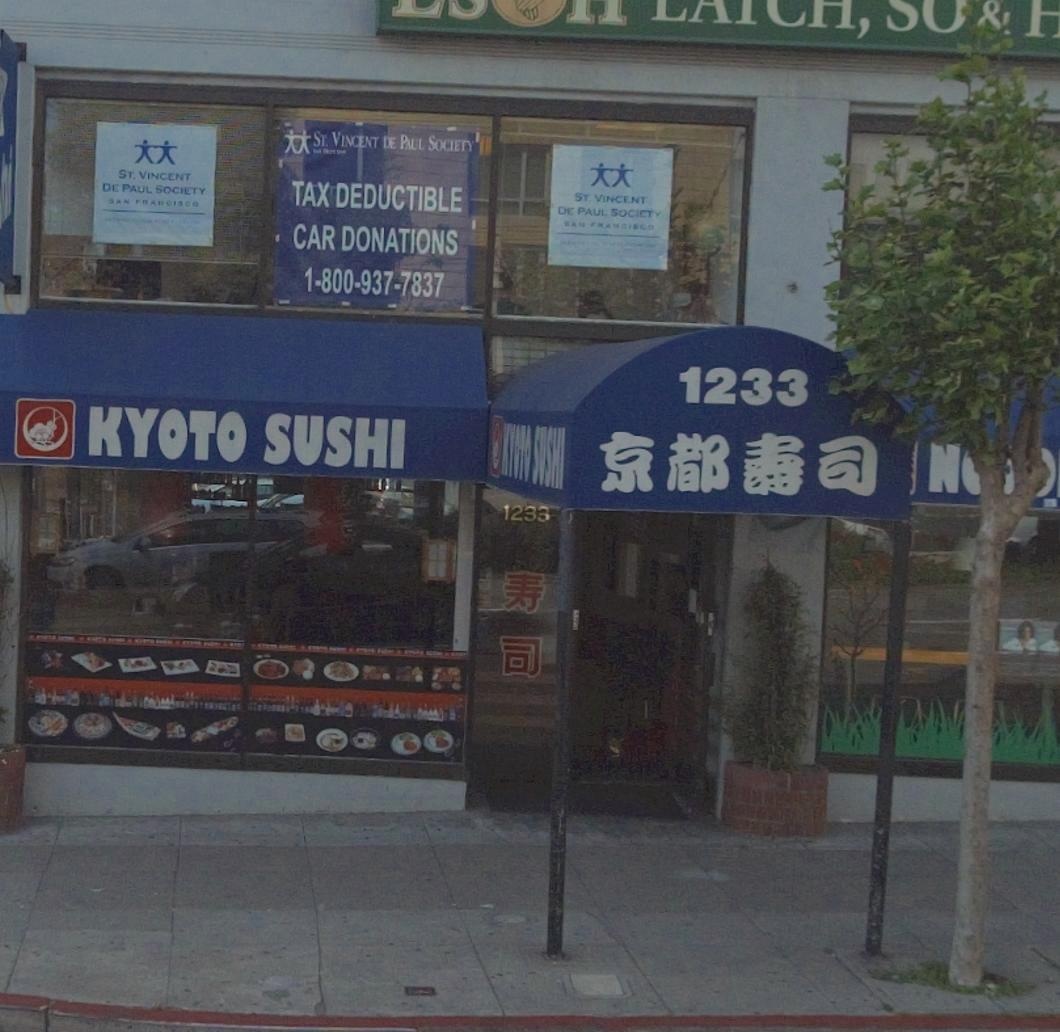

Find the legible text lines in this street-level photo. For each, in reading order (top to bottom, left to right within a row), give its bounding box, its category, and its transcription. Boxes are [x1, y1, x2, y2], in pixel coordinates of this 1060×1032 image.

[312, 129, 476, 154] BusinessName: ST. VINCENT DE PAUL SOCIETY
[117, 168, 193, 183] BusinessName: ST. VINCENT
[107, 196, 200, 208] None: SAN FRANCISCO
[100, 182, 209, 196] BusinessName: DE PAUL SOCIETY
[290, 178, 464, 213] None: TAX DEDUCTIBLE
[573, 191, 647, 205] BusinessName: ST. VINCENT
[557, 204, 664, 220] BusinessName: DE PAUL SOCIETY
[562, 219, 656, 231] None: SAN FRANCISCO
[291, 222, 460, 257] None: CAR DONATIONS
[303, 264, 446, 299] None: 1-800-937-7837
[678, 362, 810, 409] StreetNumber: 1233
[86, 402, 407, 472] BusinessName: KYOTO SUSHI
[499, 420, 567, 492] BusinessName: KYOTO SUSHI
[927, 437, 962, 496] None: N
[502, 502, 550, 524] StreetNumber: 1233